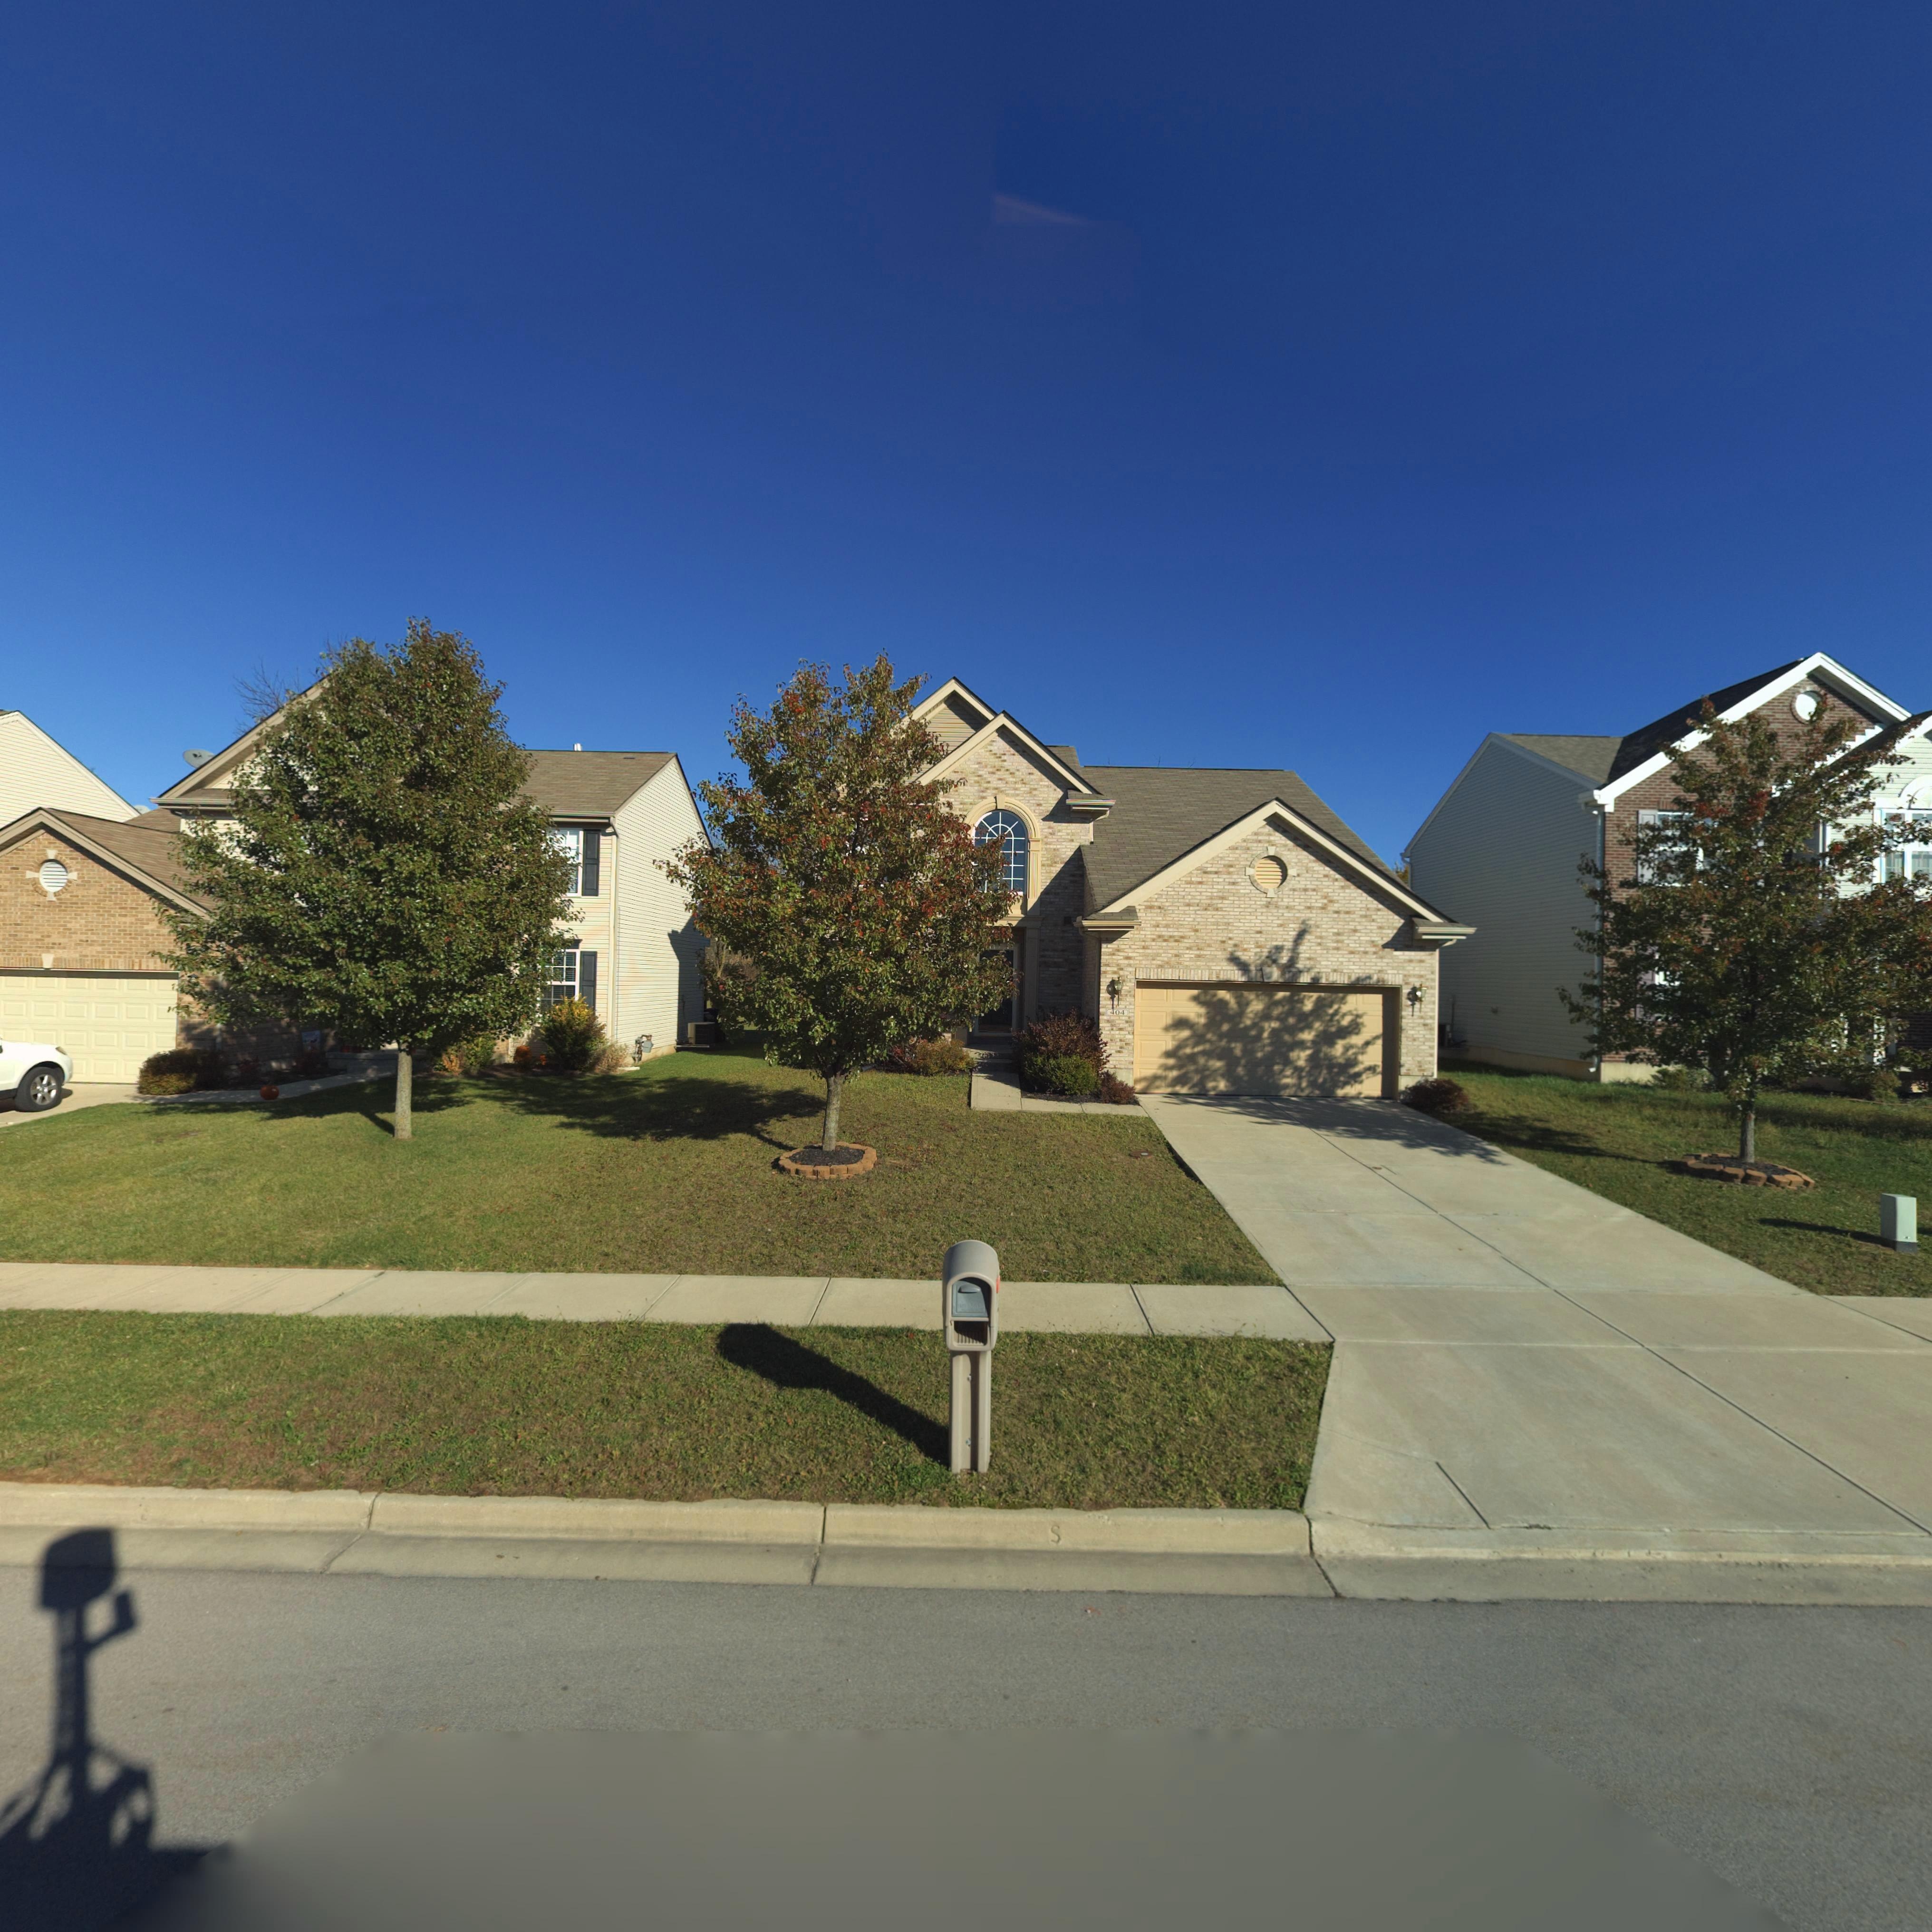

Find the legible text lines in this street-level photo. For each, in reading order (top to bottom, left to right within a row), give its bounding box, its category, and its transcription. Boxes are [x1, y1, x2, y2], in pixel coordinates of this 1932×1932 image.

[1109, 1009, 1125, 1015] StreetNumber: 404